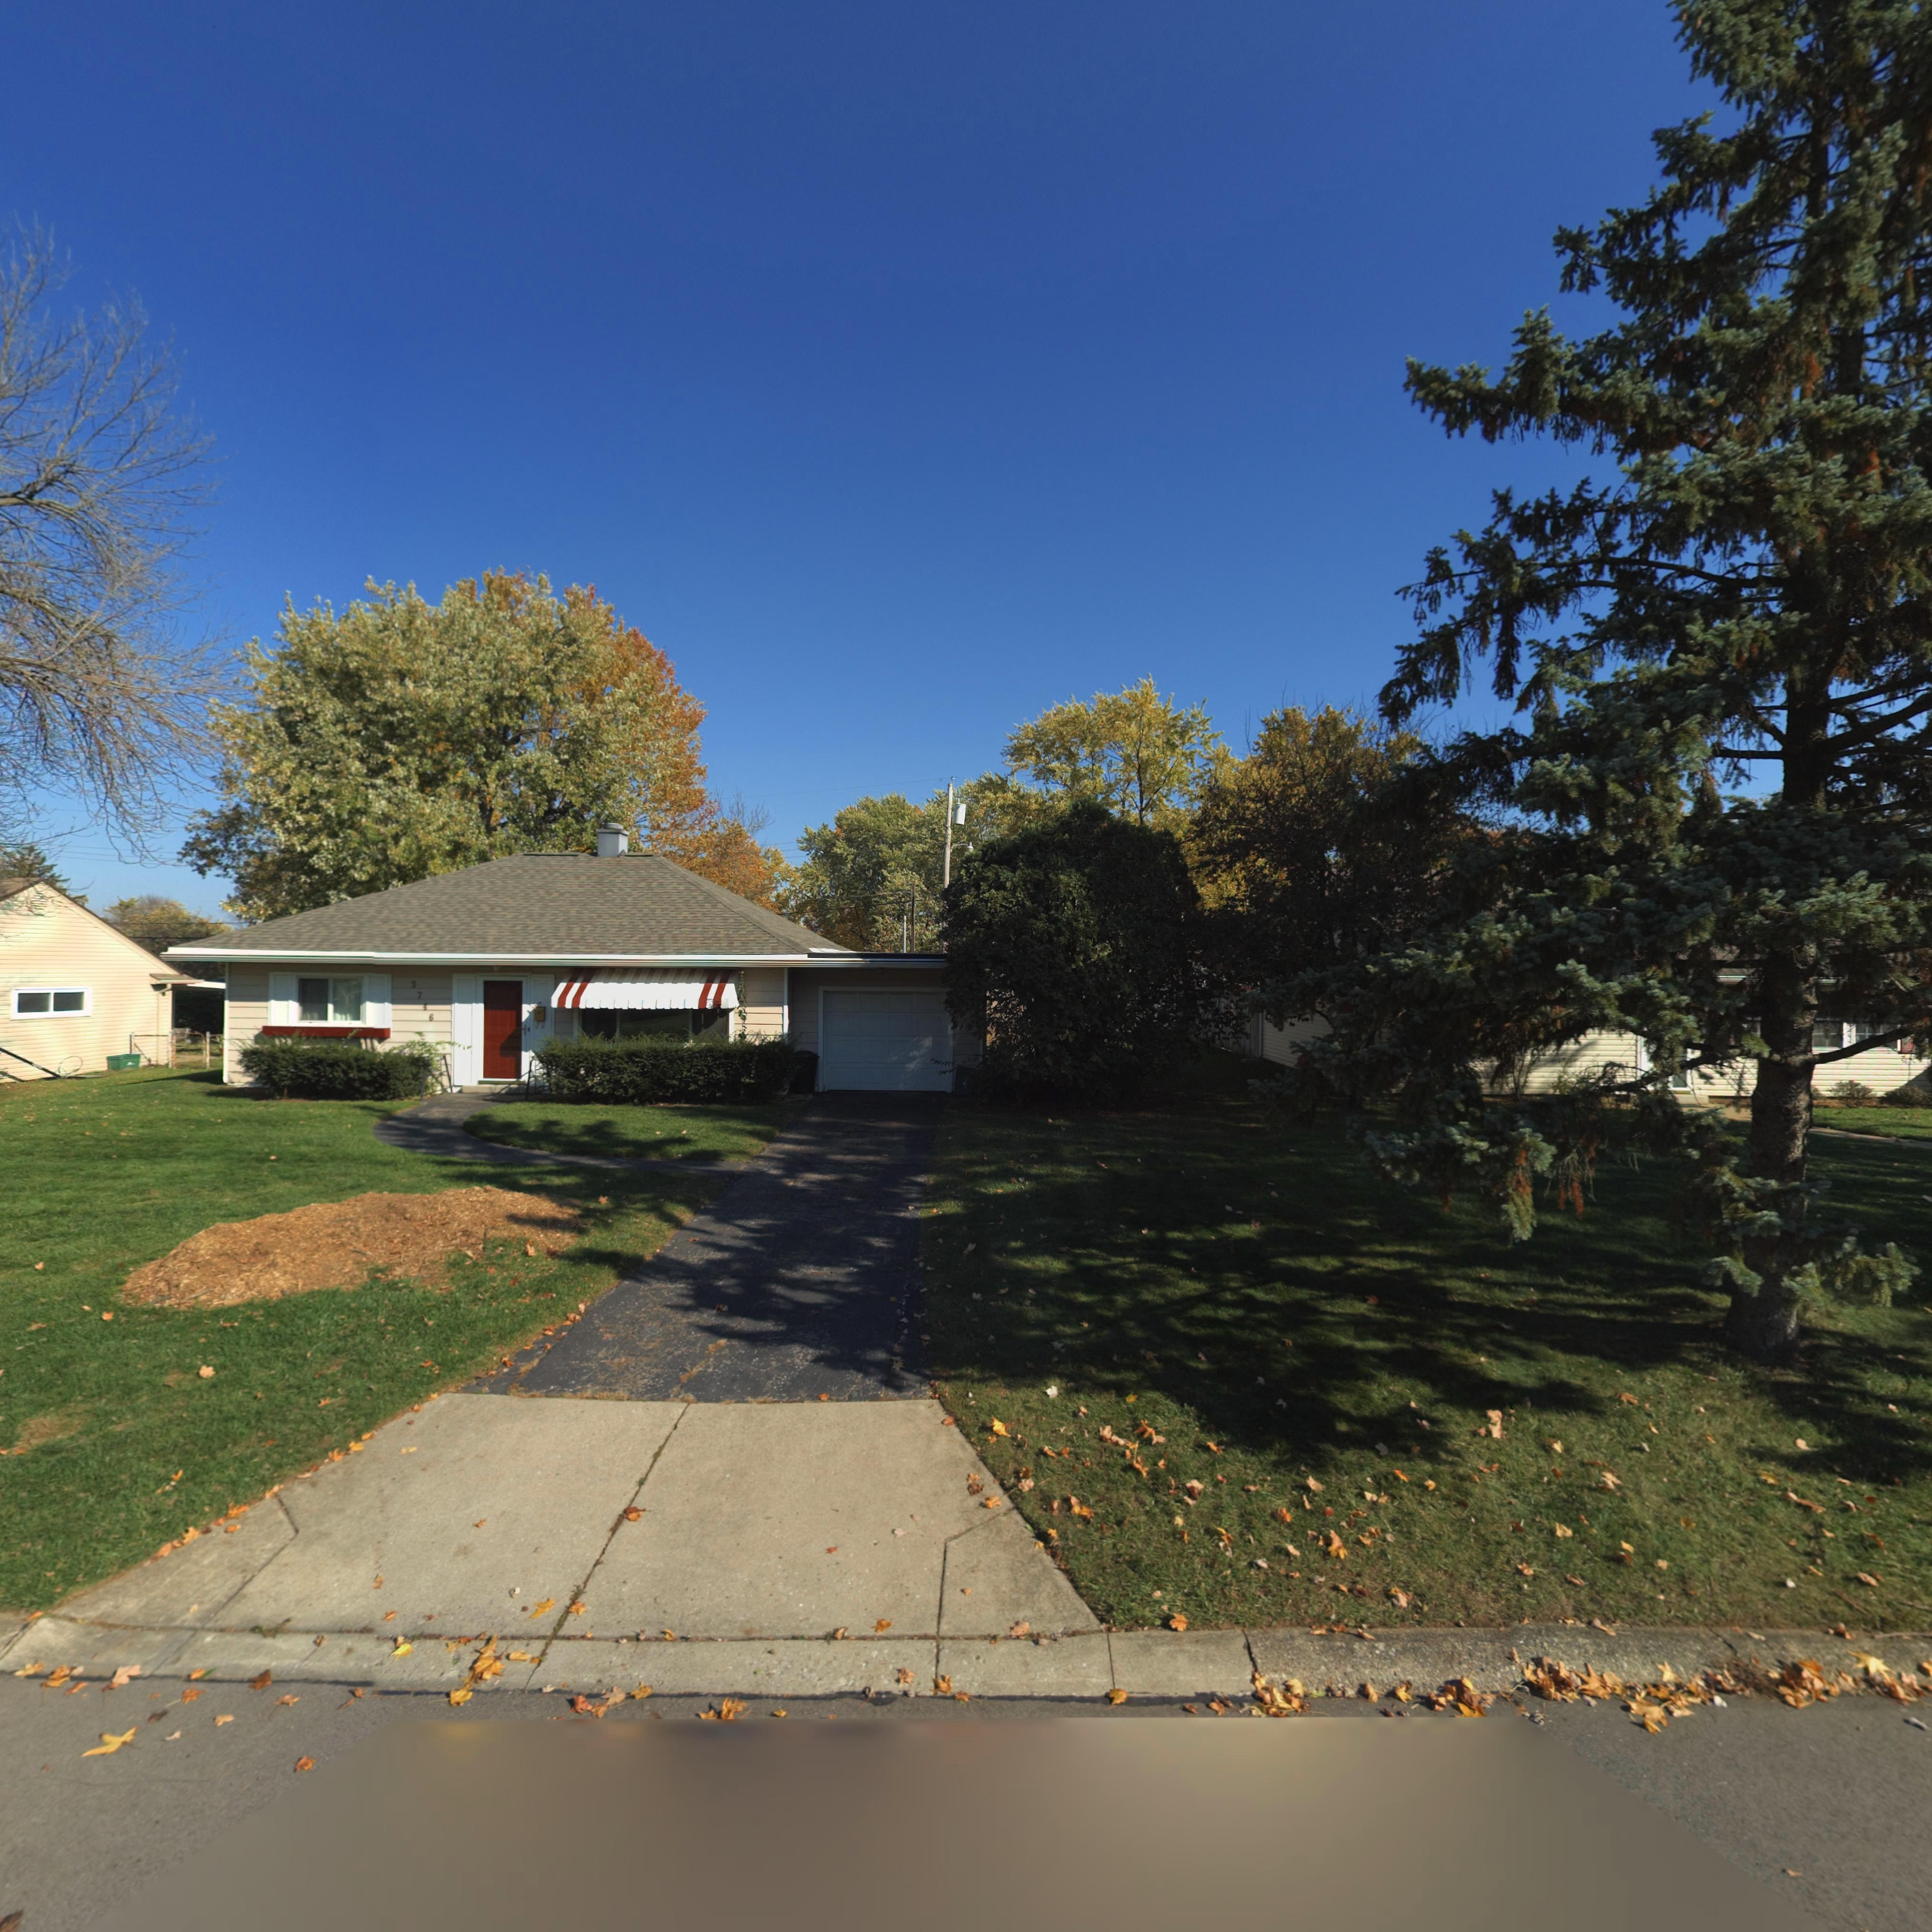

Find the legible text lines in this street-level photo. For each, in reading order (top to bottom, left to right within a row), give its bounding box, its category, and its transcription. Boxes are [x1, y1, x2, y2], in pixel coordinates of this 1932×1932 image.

[410, 979, 435, 1023] StreetNumber: 37*6